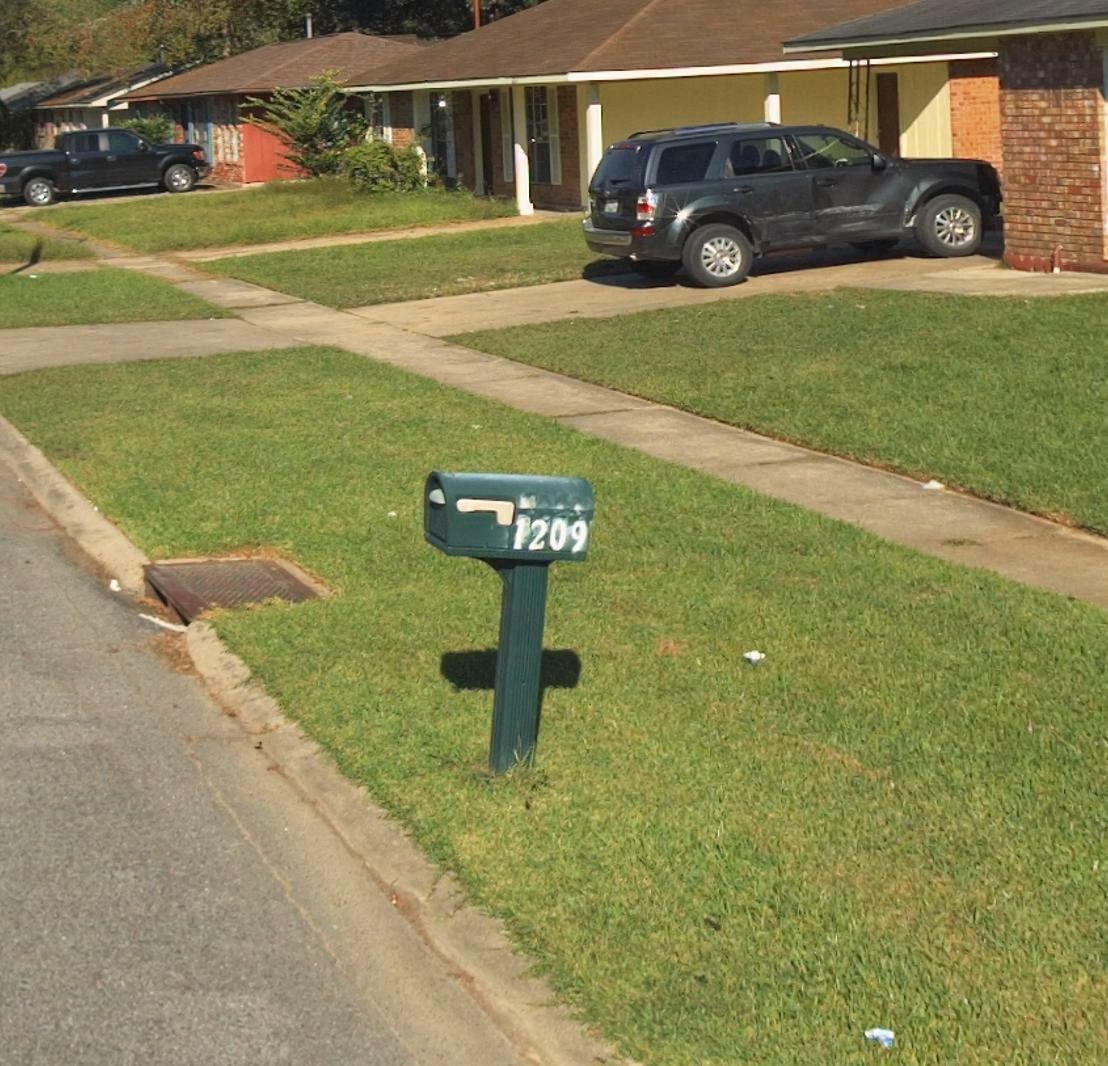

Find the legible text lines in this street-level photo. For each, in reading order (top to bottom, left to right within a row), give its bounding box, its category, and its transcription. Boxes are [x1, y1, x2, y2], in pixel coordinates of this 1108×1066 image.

[511, 517, 590, 554] StreetNumber: 1209